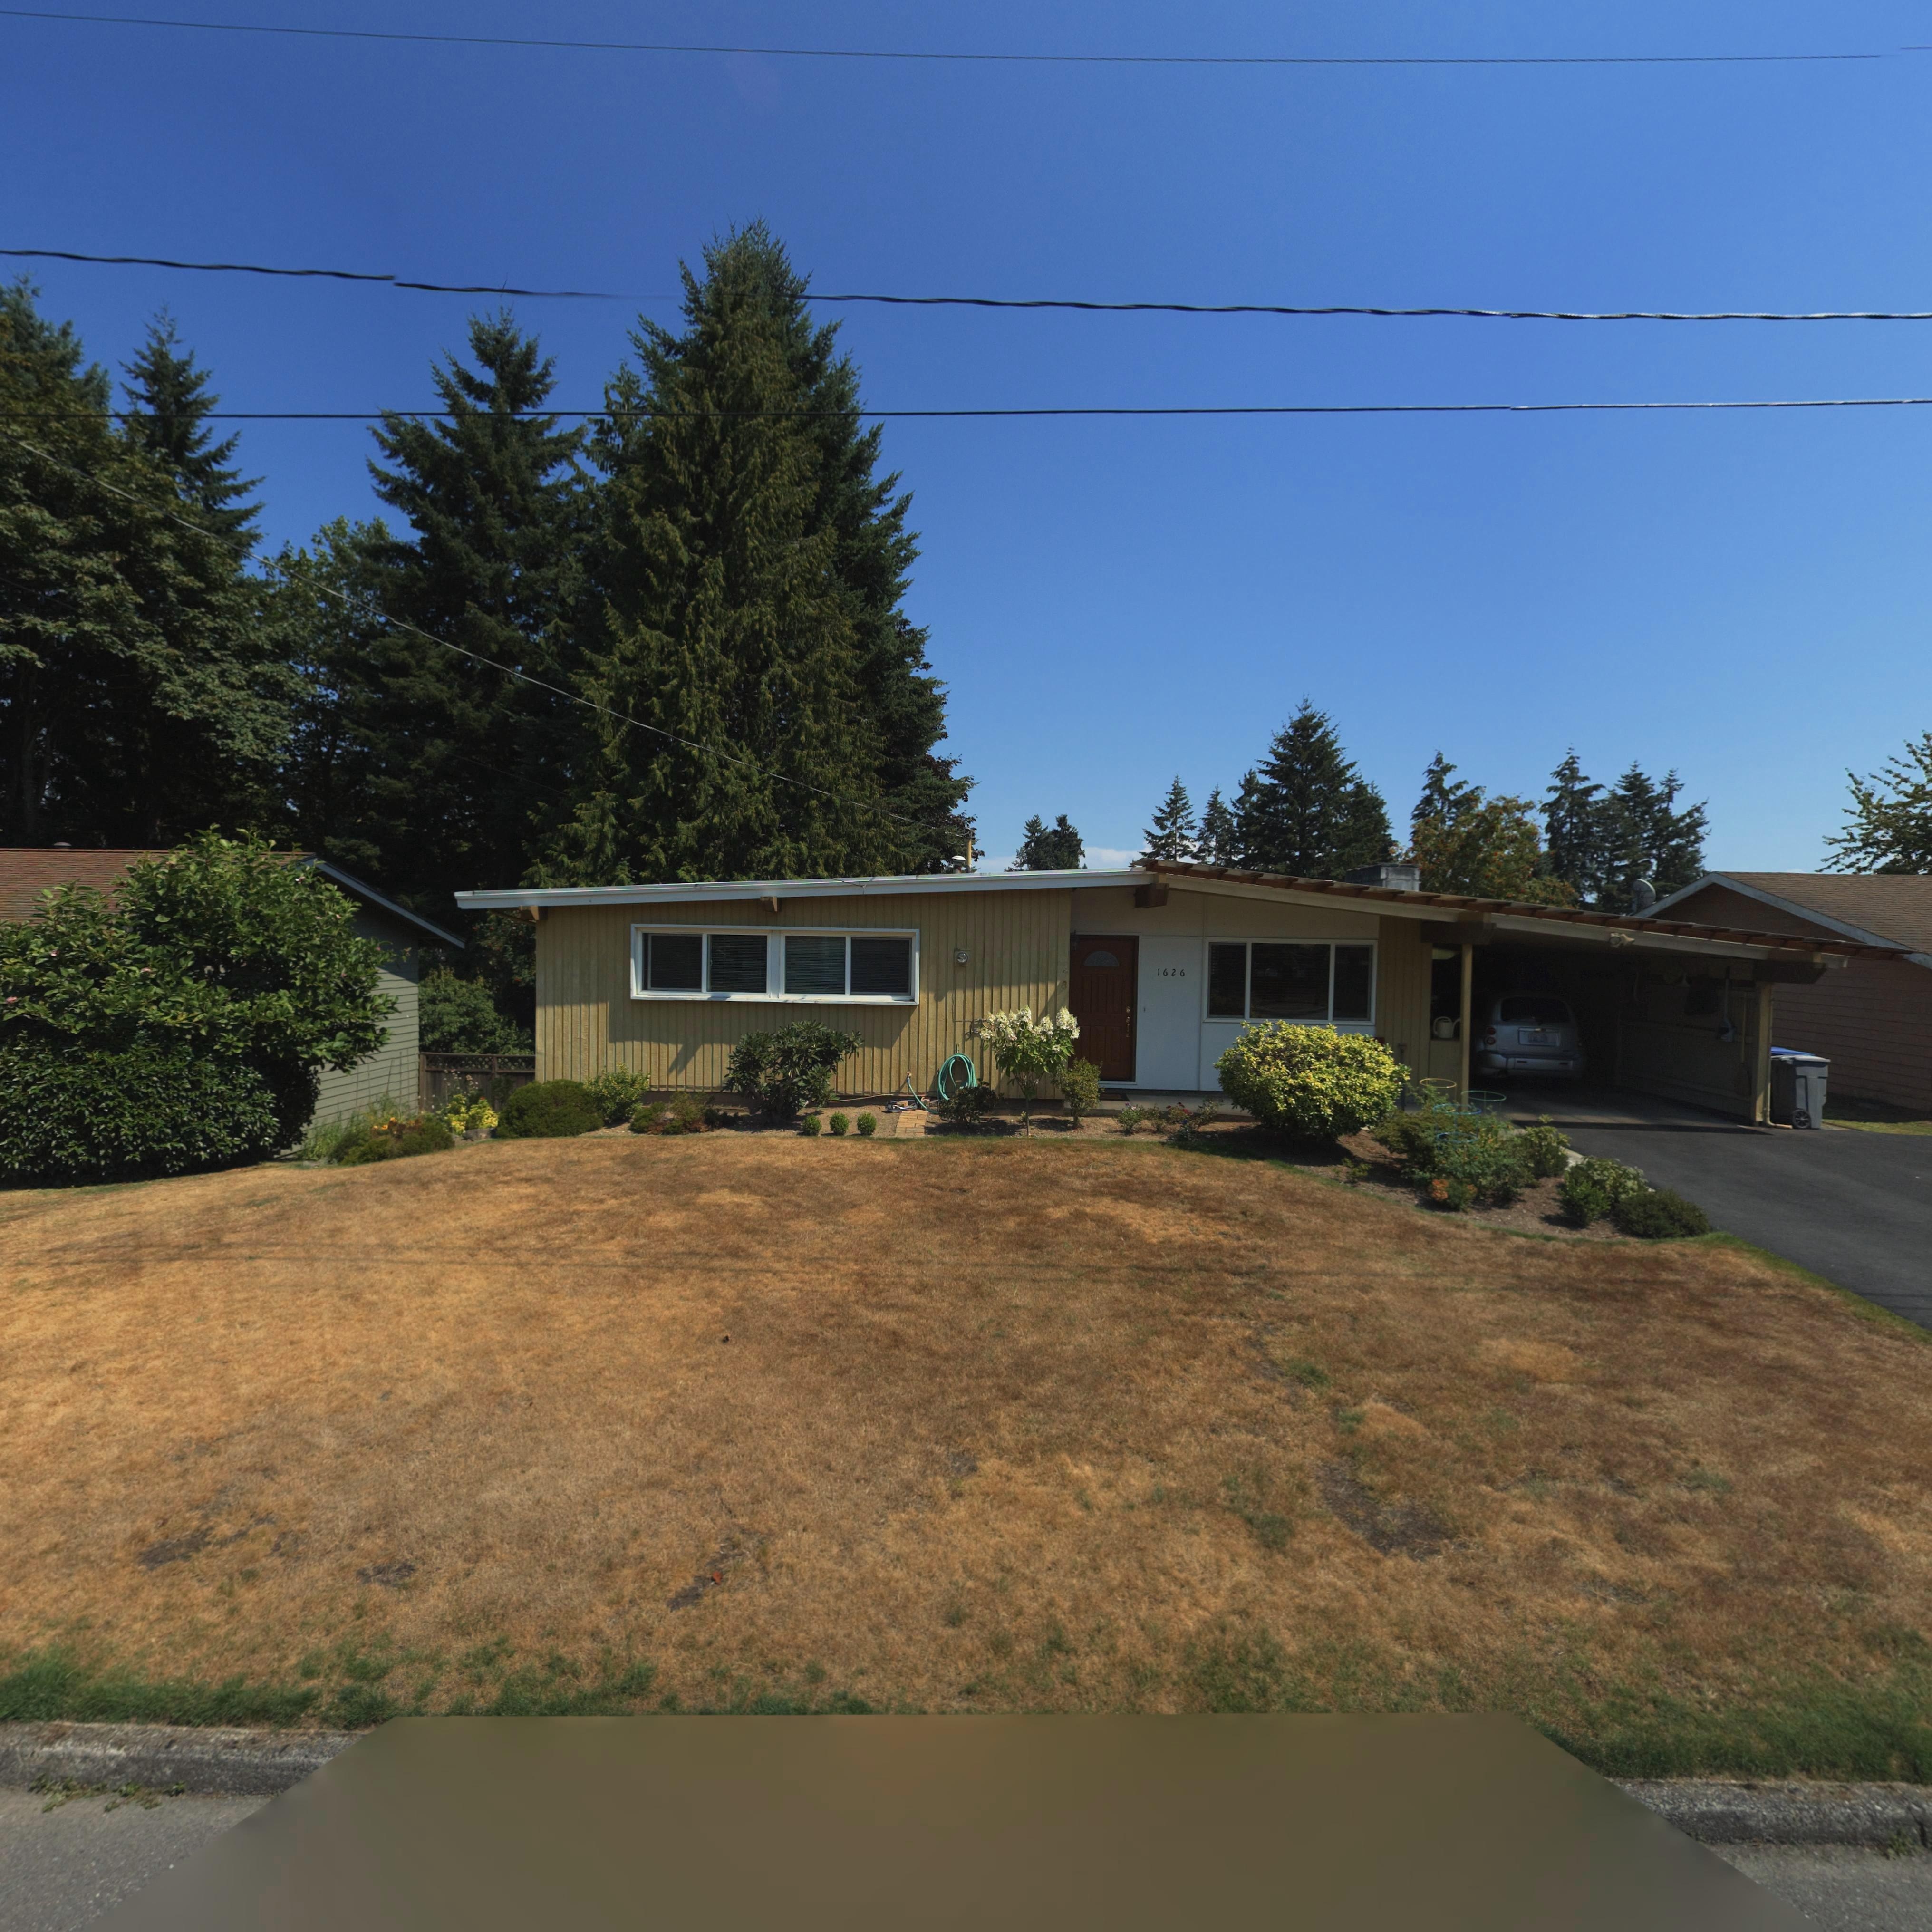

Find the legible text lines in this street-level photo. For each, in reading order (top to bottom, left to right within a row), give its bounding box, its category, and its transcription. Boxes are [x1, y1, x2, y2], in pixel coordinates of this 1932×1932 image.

[1156, 967, 1186, 977] StreetNumber: 1626